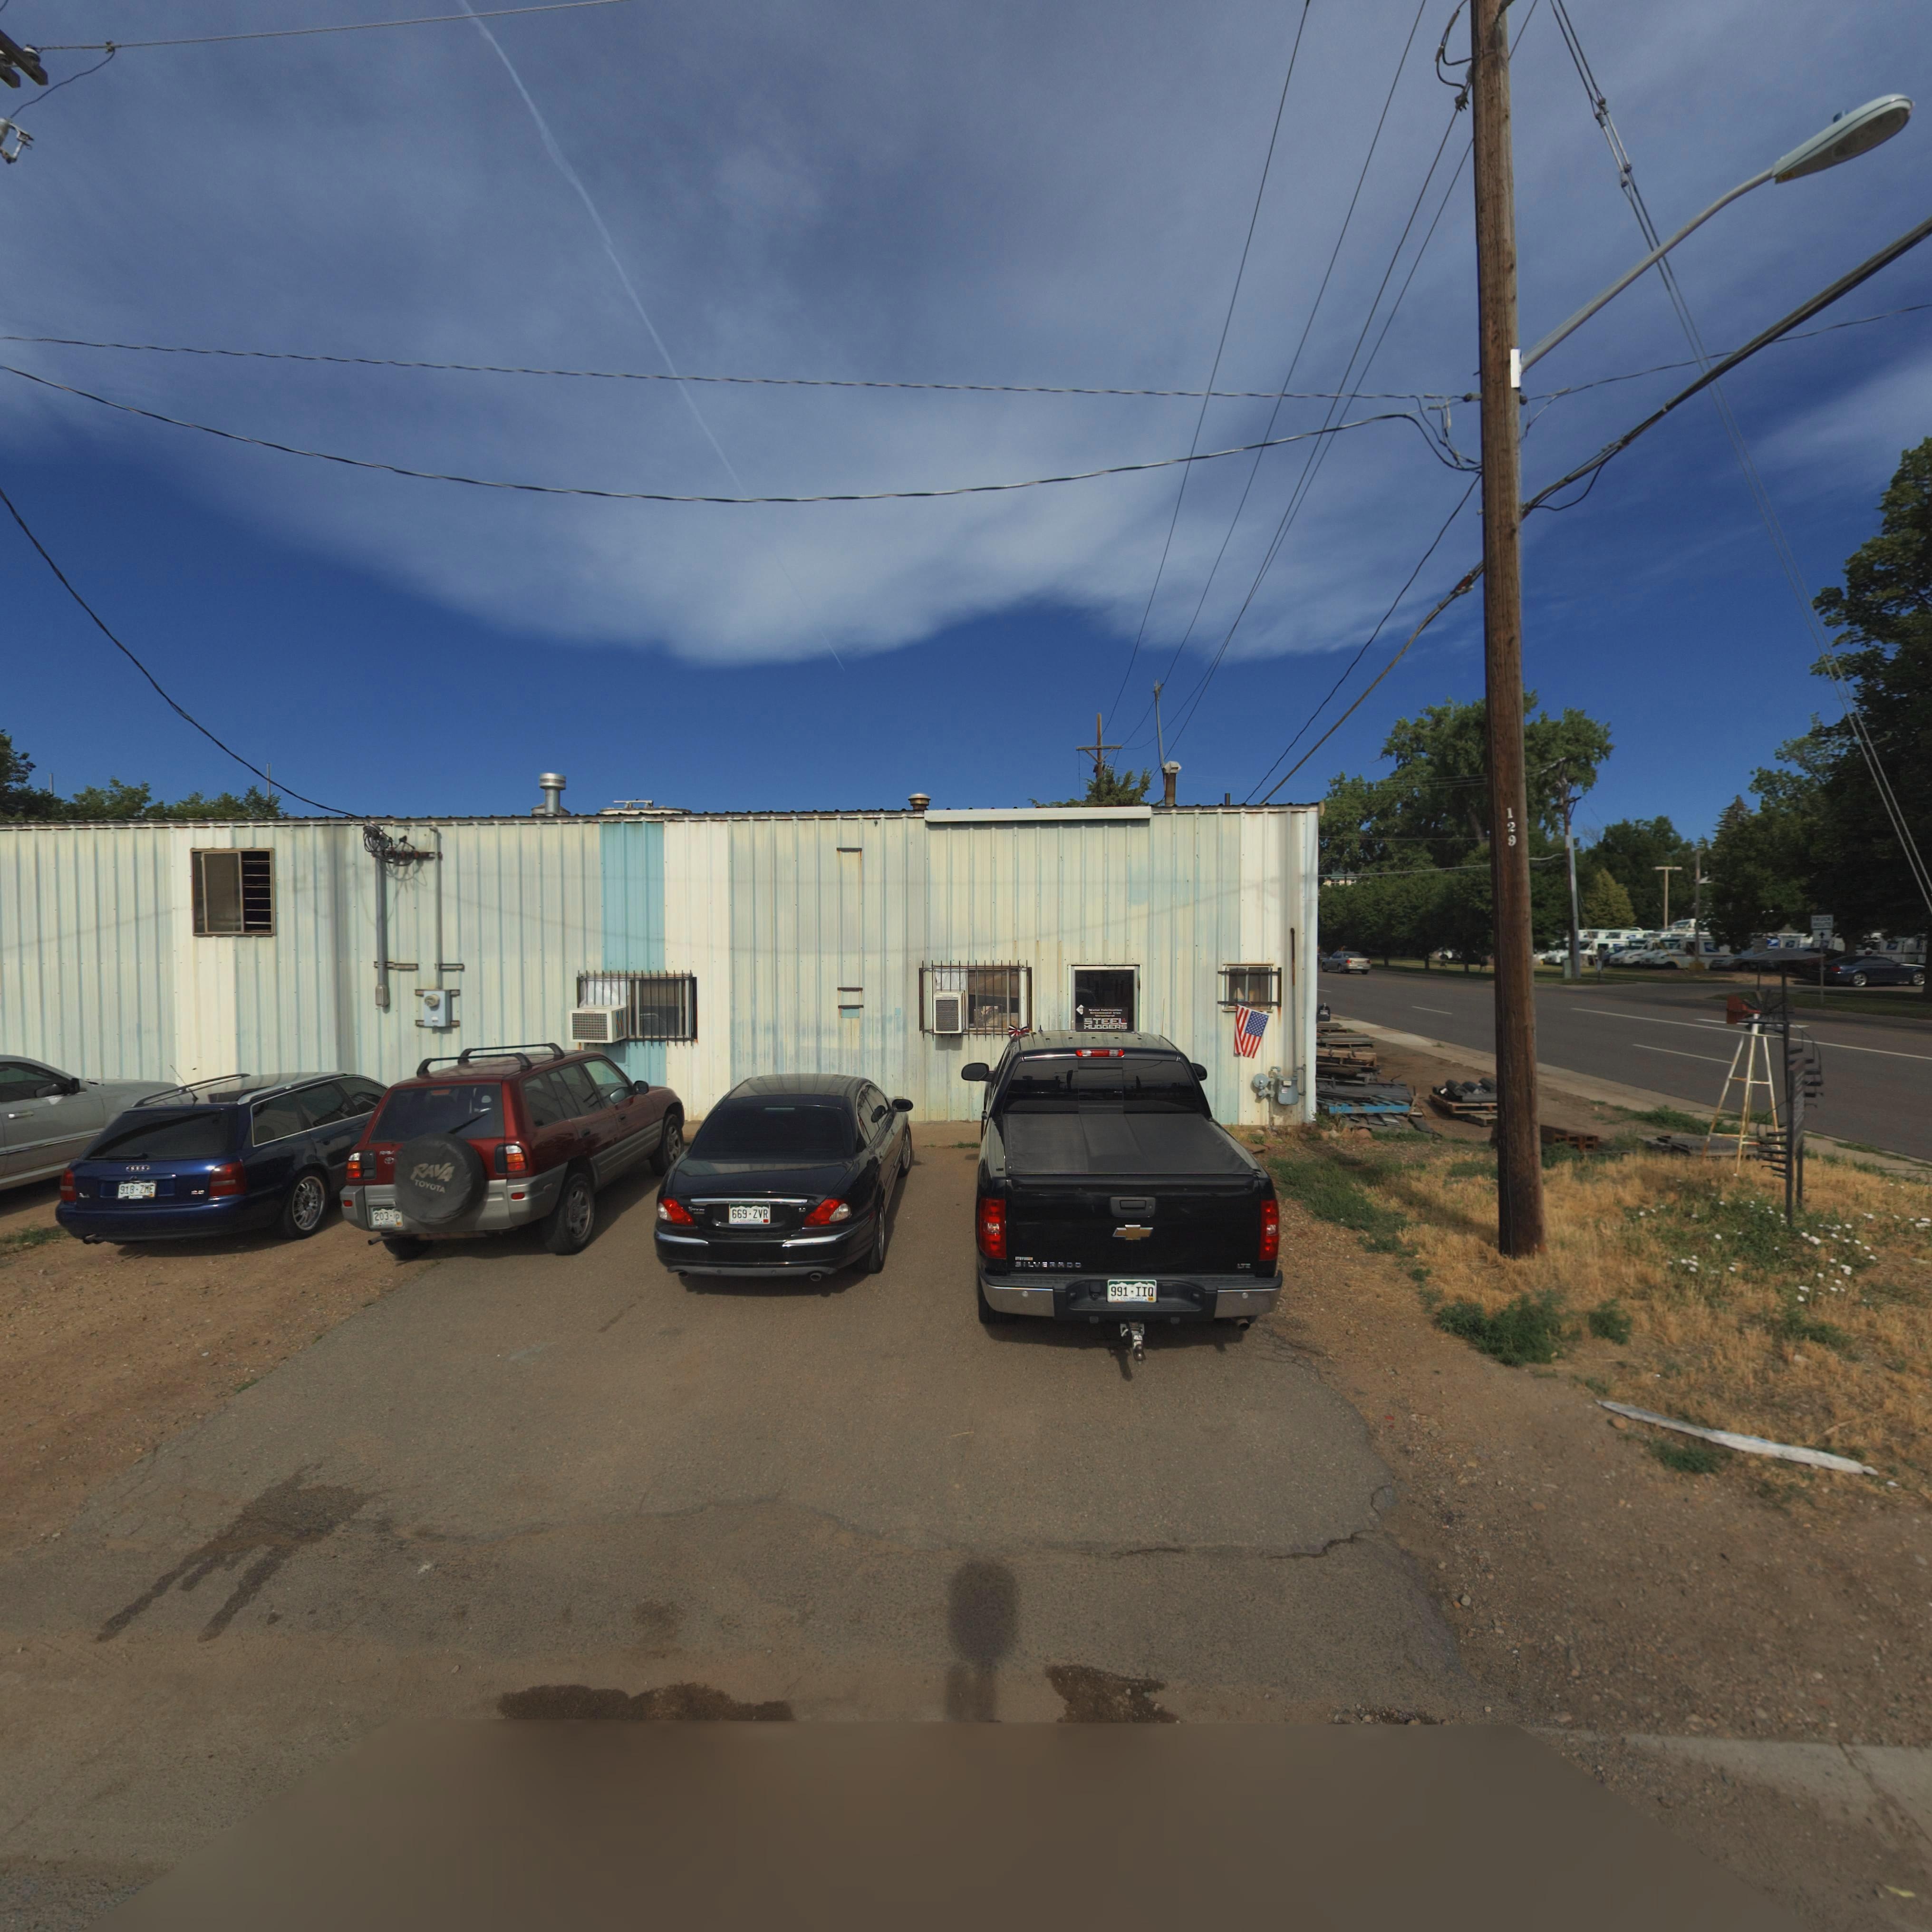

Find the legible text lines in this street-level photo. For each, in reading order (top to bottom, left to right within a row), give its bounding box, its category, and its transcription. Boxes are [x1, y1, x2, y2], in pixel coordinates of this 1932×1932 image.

[1505, 804, 1519, 850] StreetNumber: 129
[1083, 1018, 1127, 1024] BusinessName: STEEL
[1083, 1024, 1127, 1029] BusinessName: HUGGERS